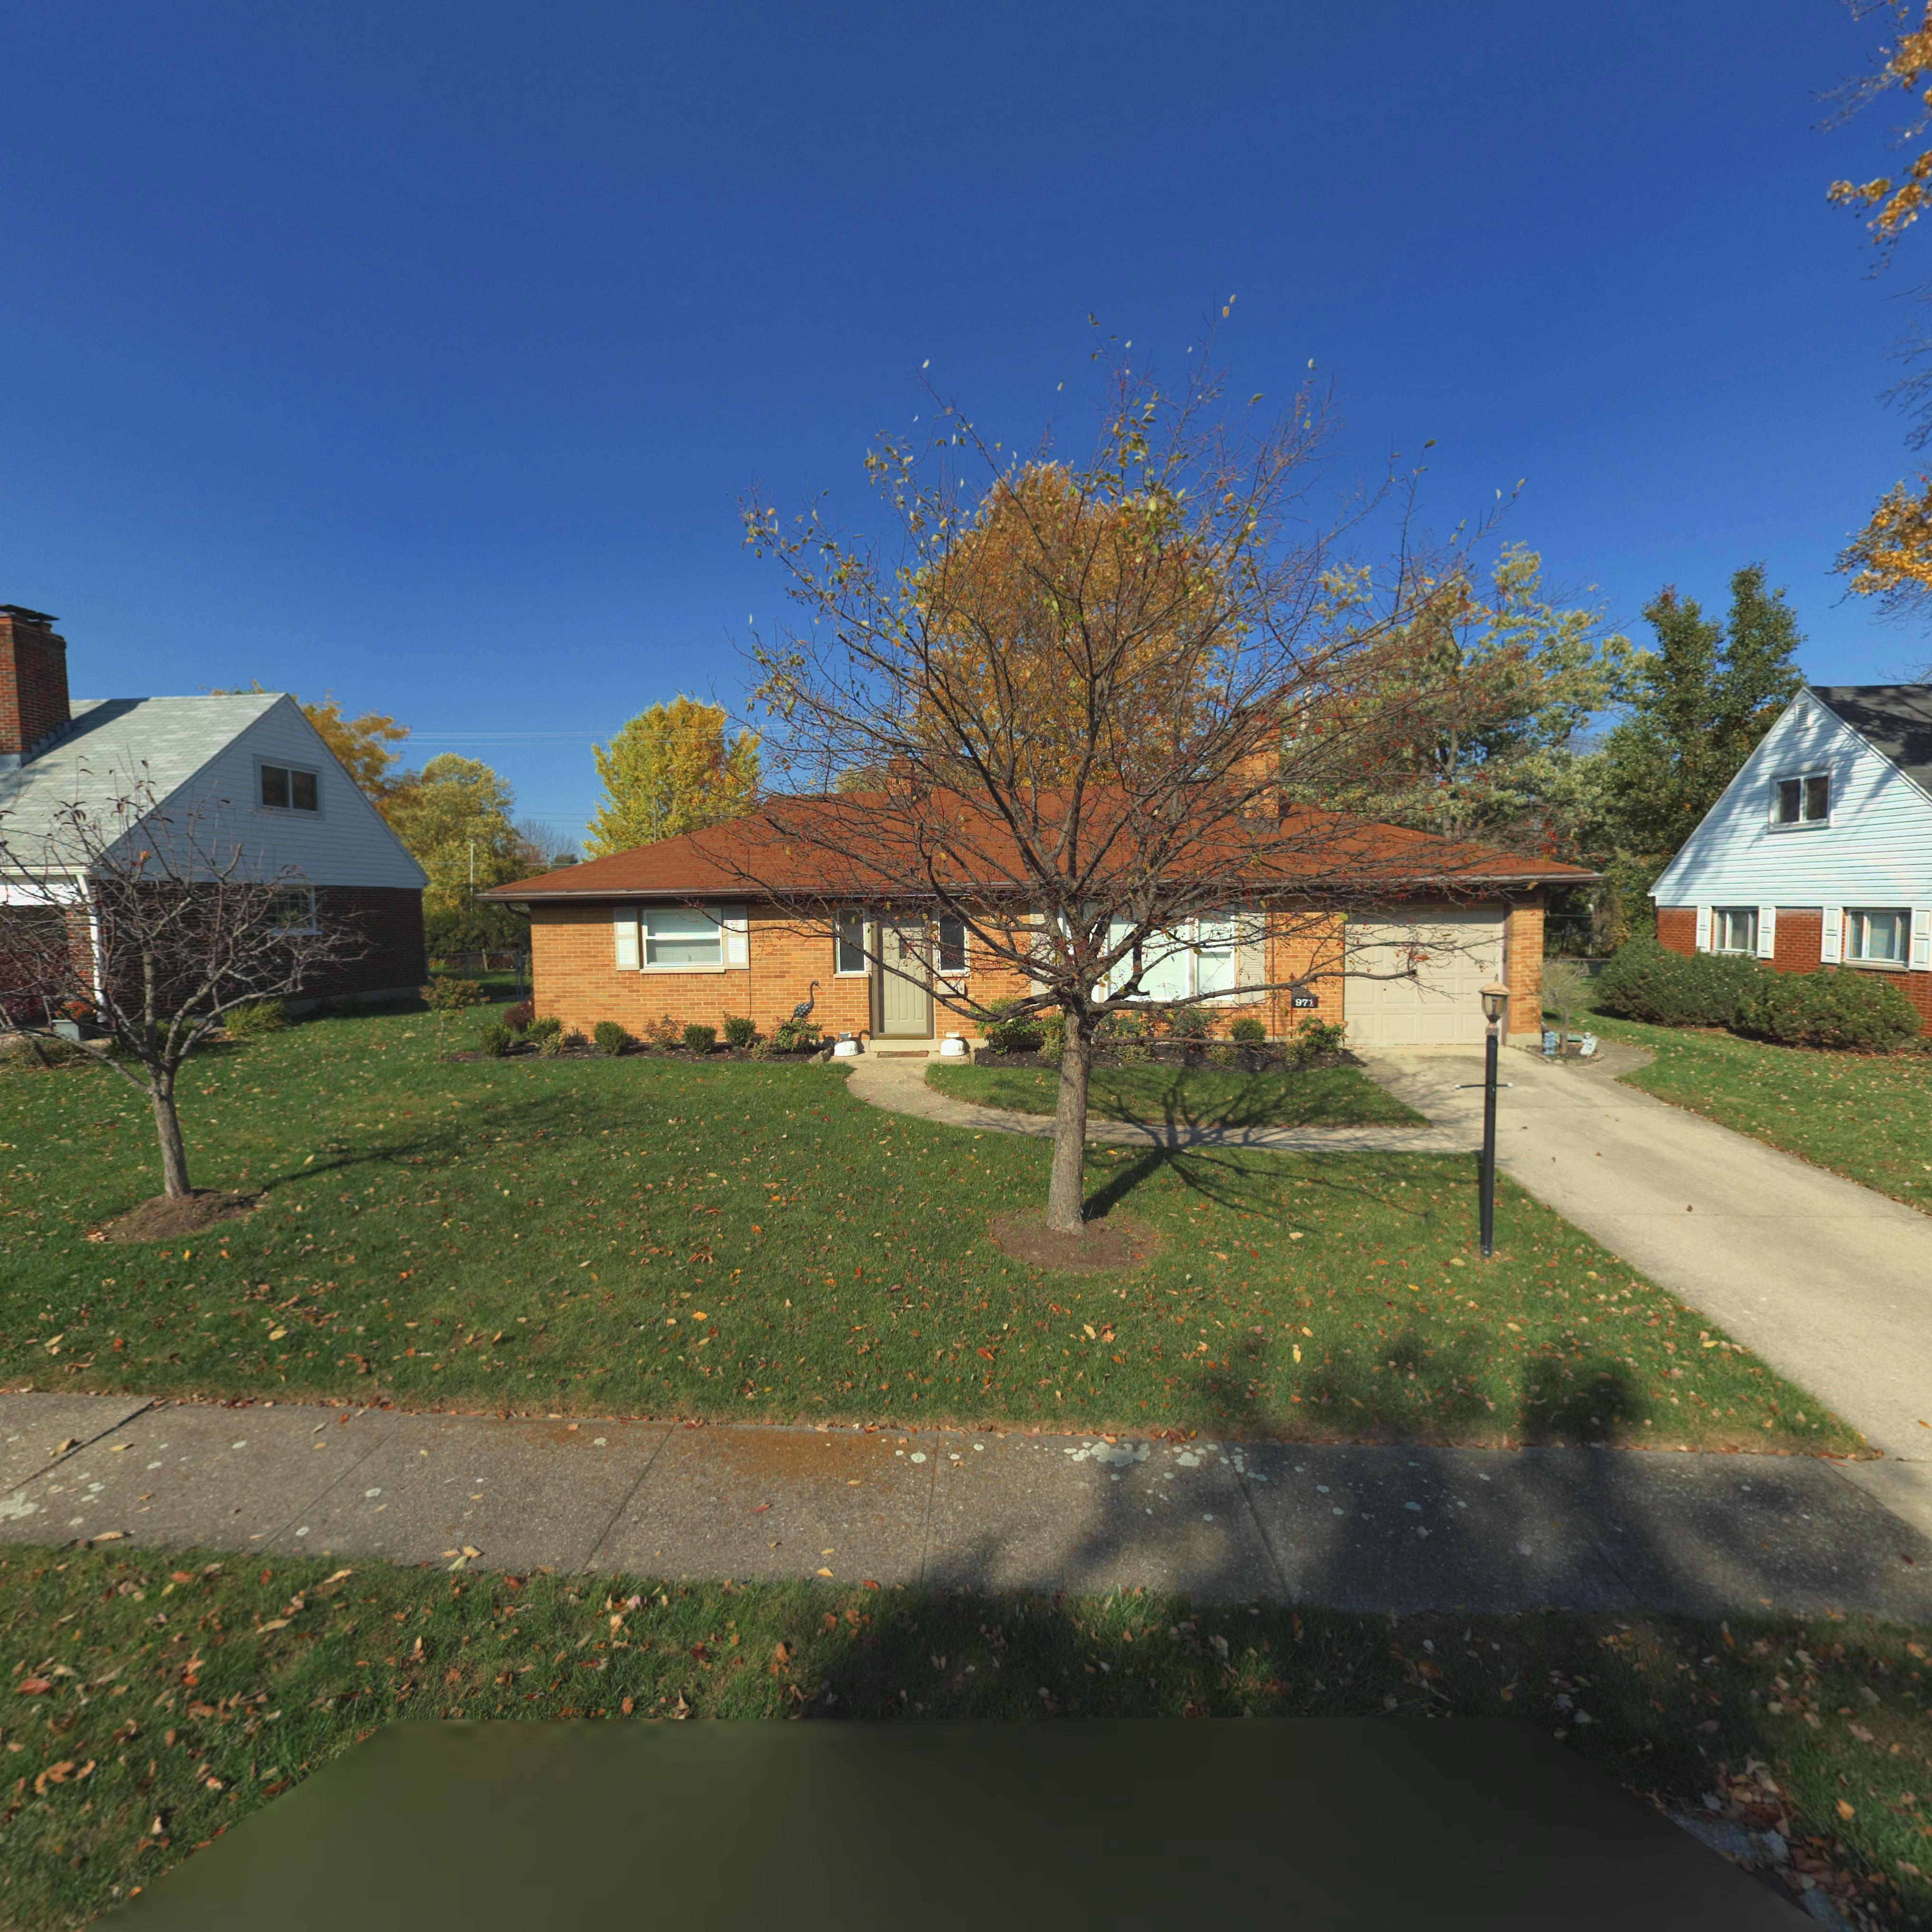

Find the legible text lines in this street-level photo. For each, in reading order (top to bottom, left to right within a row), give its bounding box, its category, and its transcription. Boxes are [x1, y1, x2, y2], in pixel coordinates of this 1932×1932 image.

[1294, 997, 1314, 1007] StreetNumber: 97*